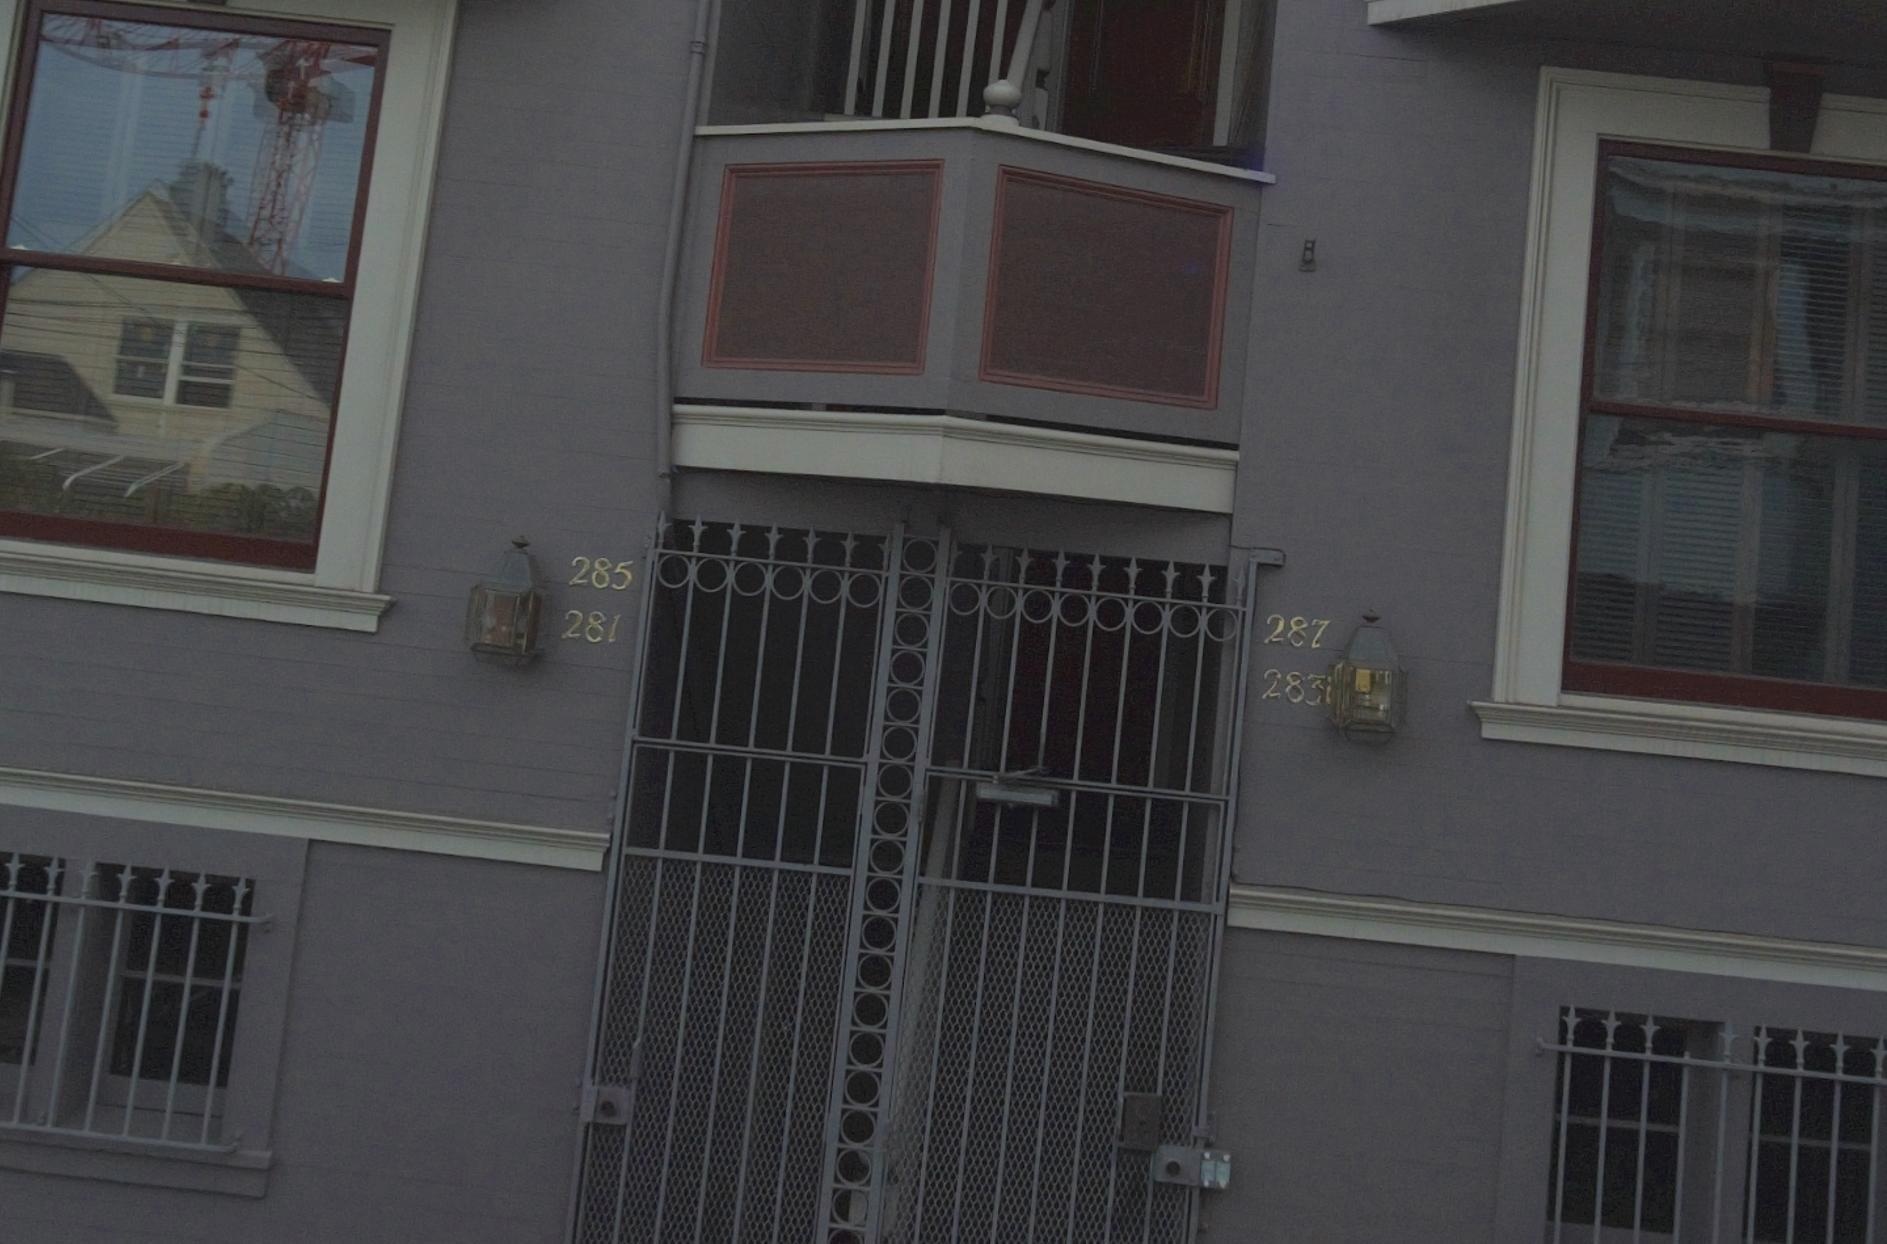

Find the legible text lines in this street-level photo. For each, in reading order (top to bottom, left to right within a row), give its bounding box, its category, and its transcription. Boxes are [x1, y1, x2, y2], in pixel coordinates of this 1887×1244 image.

[567, 552, 635, 595] StreetNumber: 285
[557, 606, 624, 647] StreetNumber: 281
[1262, 610, 1333, 651] StreetNumber: 287
[1257, 666, 1329, 710] StreetNumber: 283